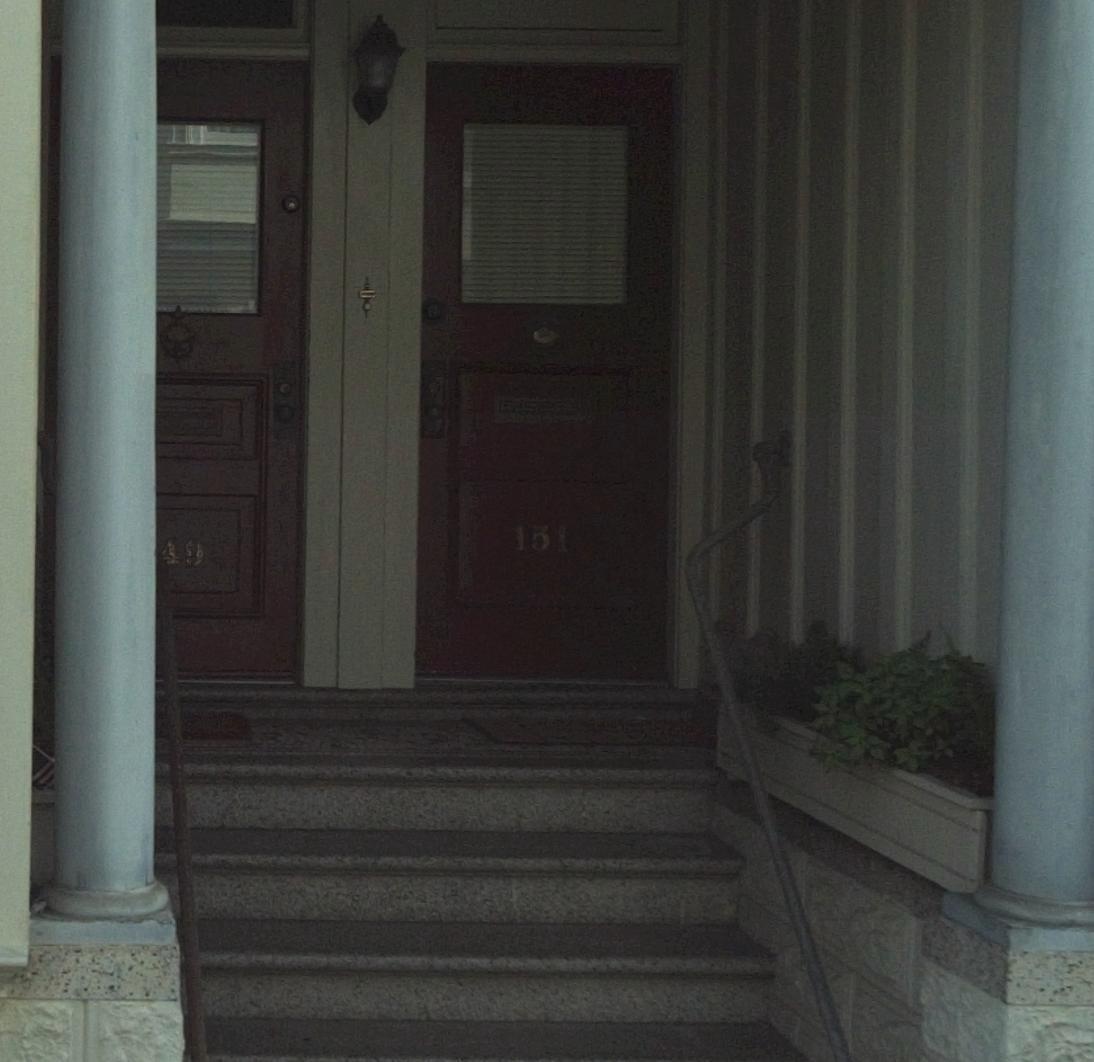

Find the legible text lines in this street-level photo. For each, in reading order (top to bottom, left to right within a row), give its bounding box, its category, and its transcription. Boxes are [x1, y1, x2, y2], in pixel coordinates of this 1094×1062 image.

[159, 537, 206, 569] StreetNumber: 49
[511, 521, 569, 556] StreetNumber: 151